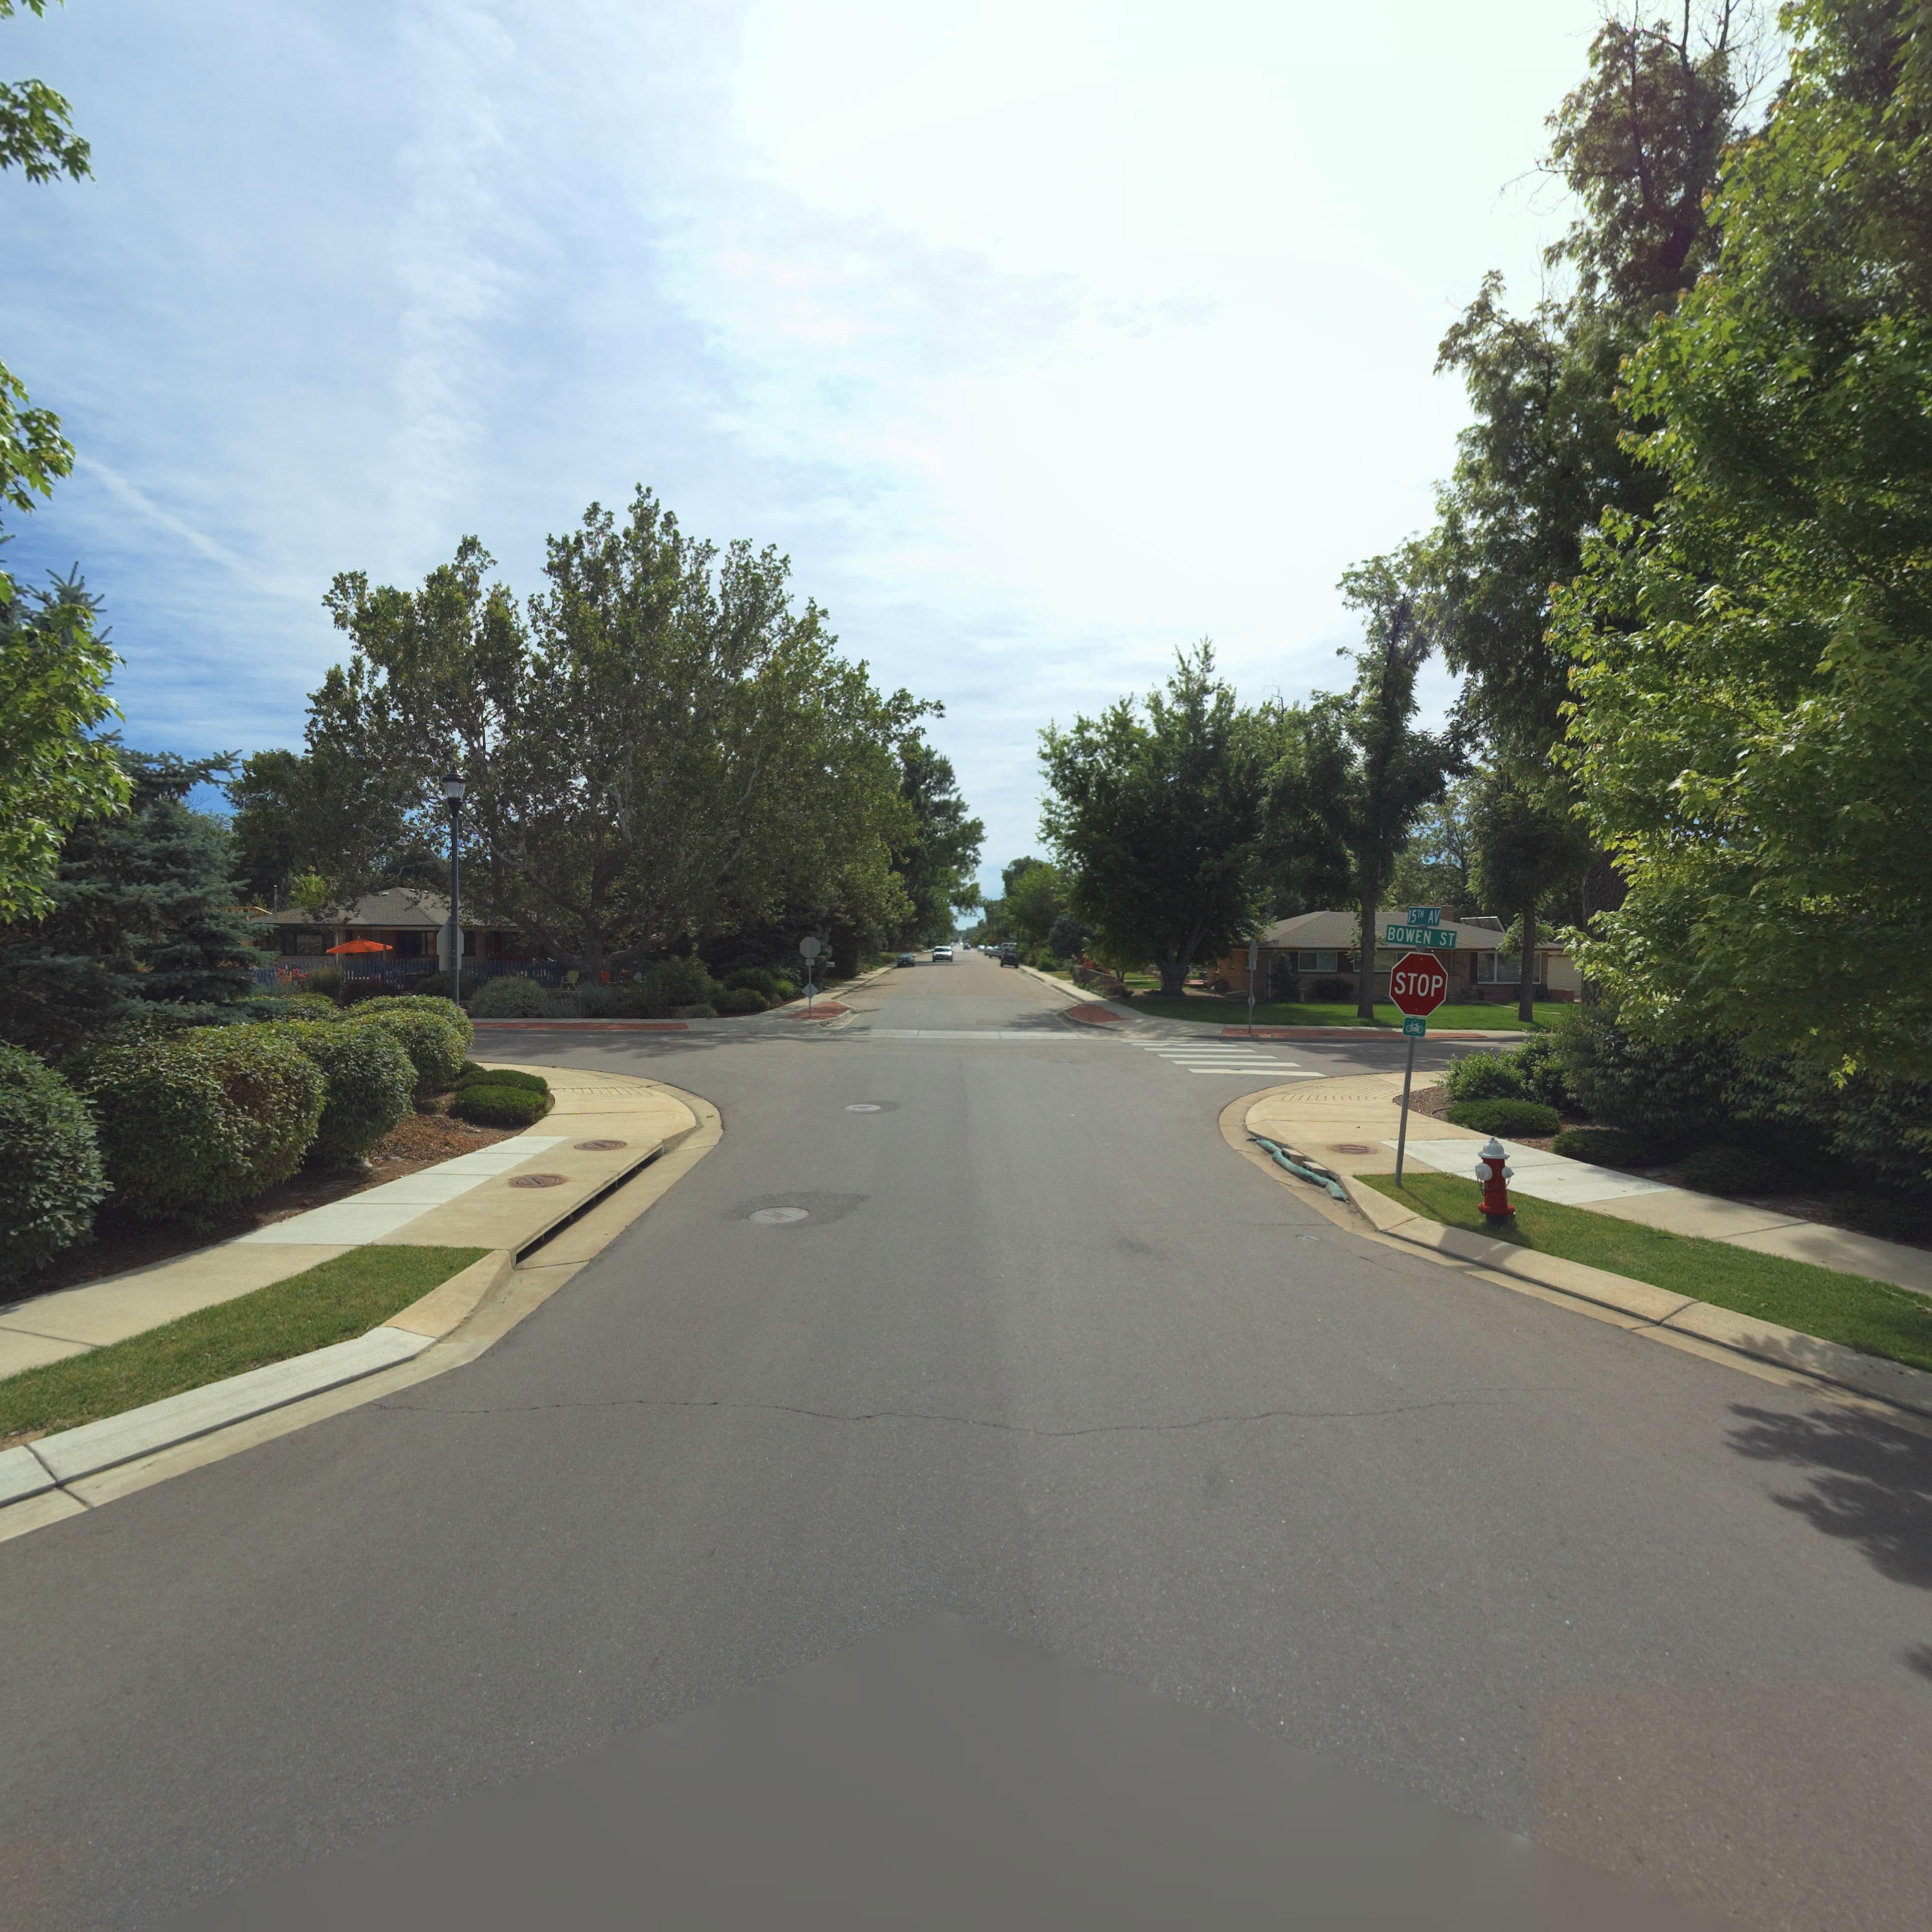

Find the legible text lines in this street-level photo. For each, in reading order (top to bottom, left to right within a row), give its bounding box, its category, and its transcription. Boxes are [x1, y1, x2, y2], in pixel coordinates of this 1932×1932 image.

[1408, 908, 1441, 924] StreetName: 15TH AV
[1387, 925, 1456, 947] StreetName: BOWEN ST